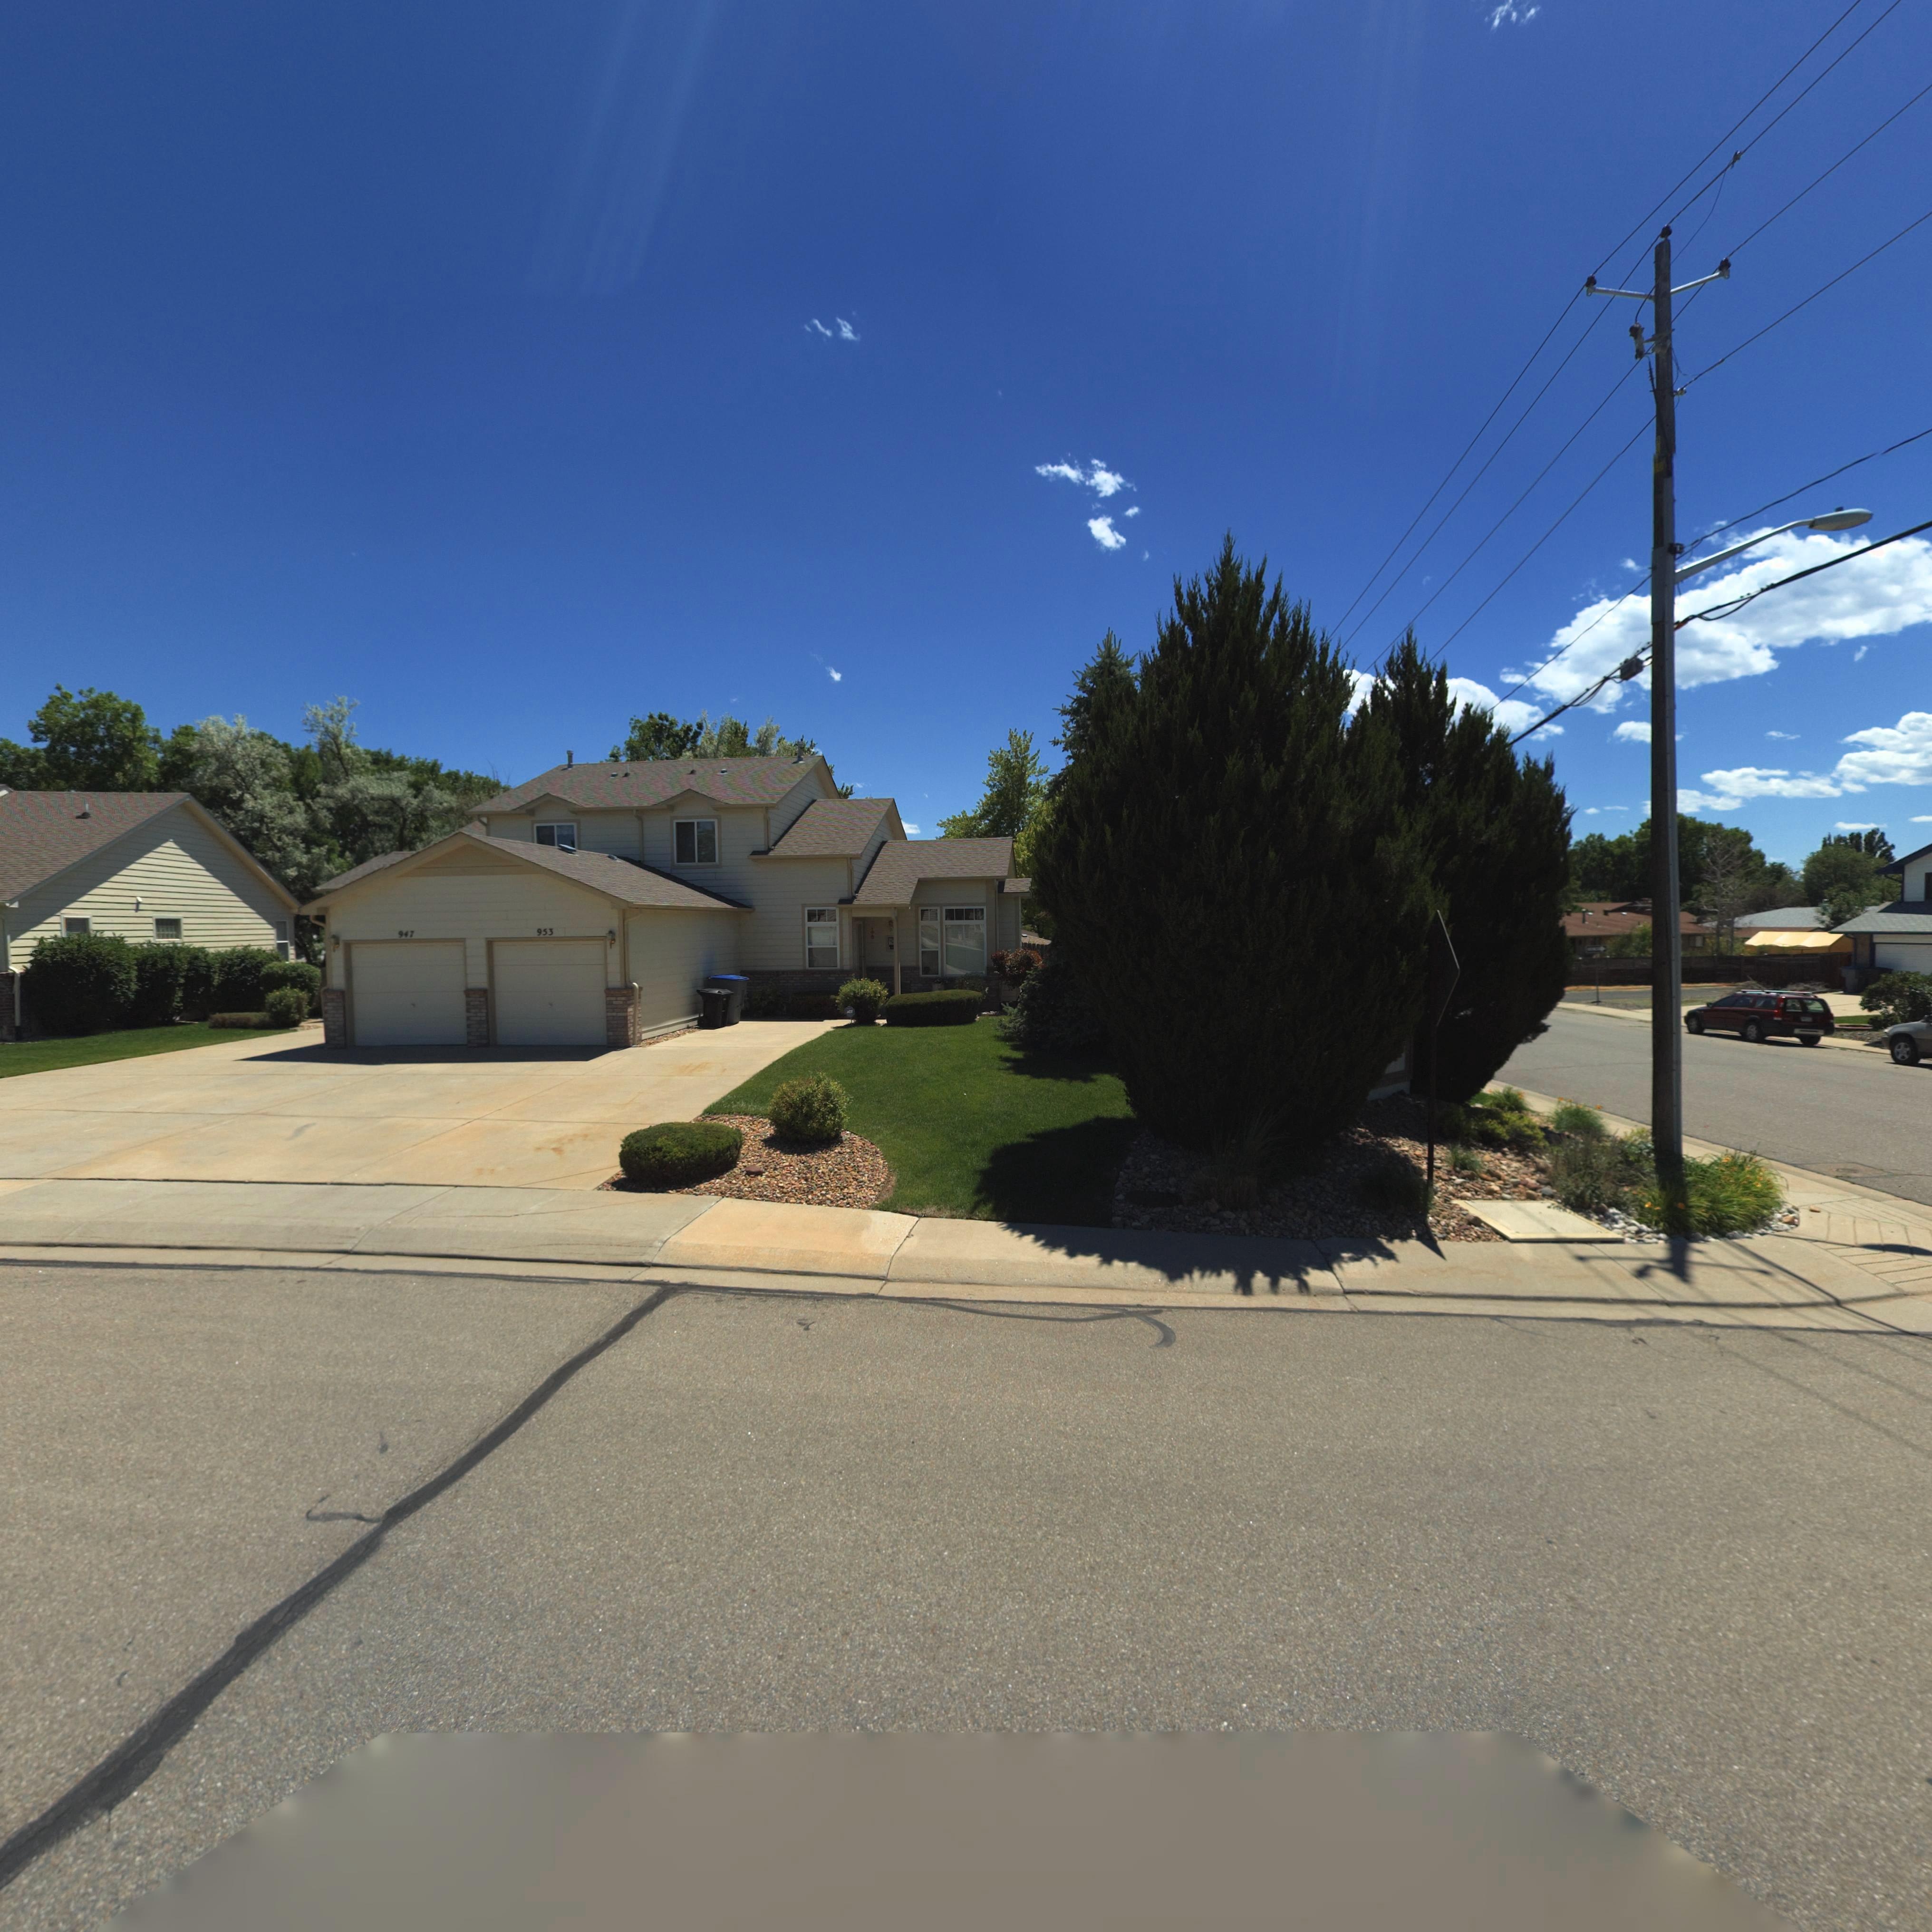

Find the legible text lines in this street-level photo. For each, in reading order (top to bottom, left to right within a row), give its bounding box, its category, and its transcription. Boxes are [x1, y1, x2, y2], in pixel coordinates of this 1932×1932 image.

[397, 930, 415, 938] StreetNumber: 947
[536, 927, 554, 936] BusinessName: 953